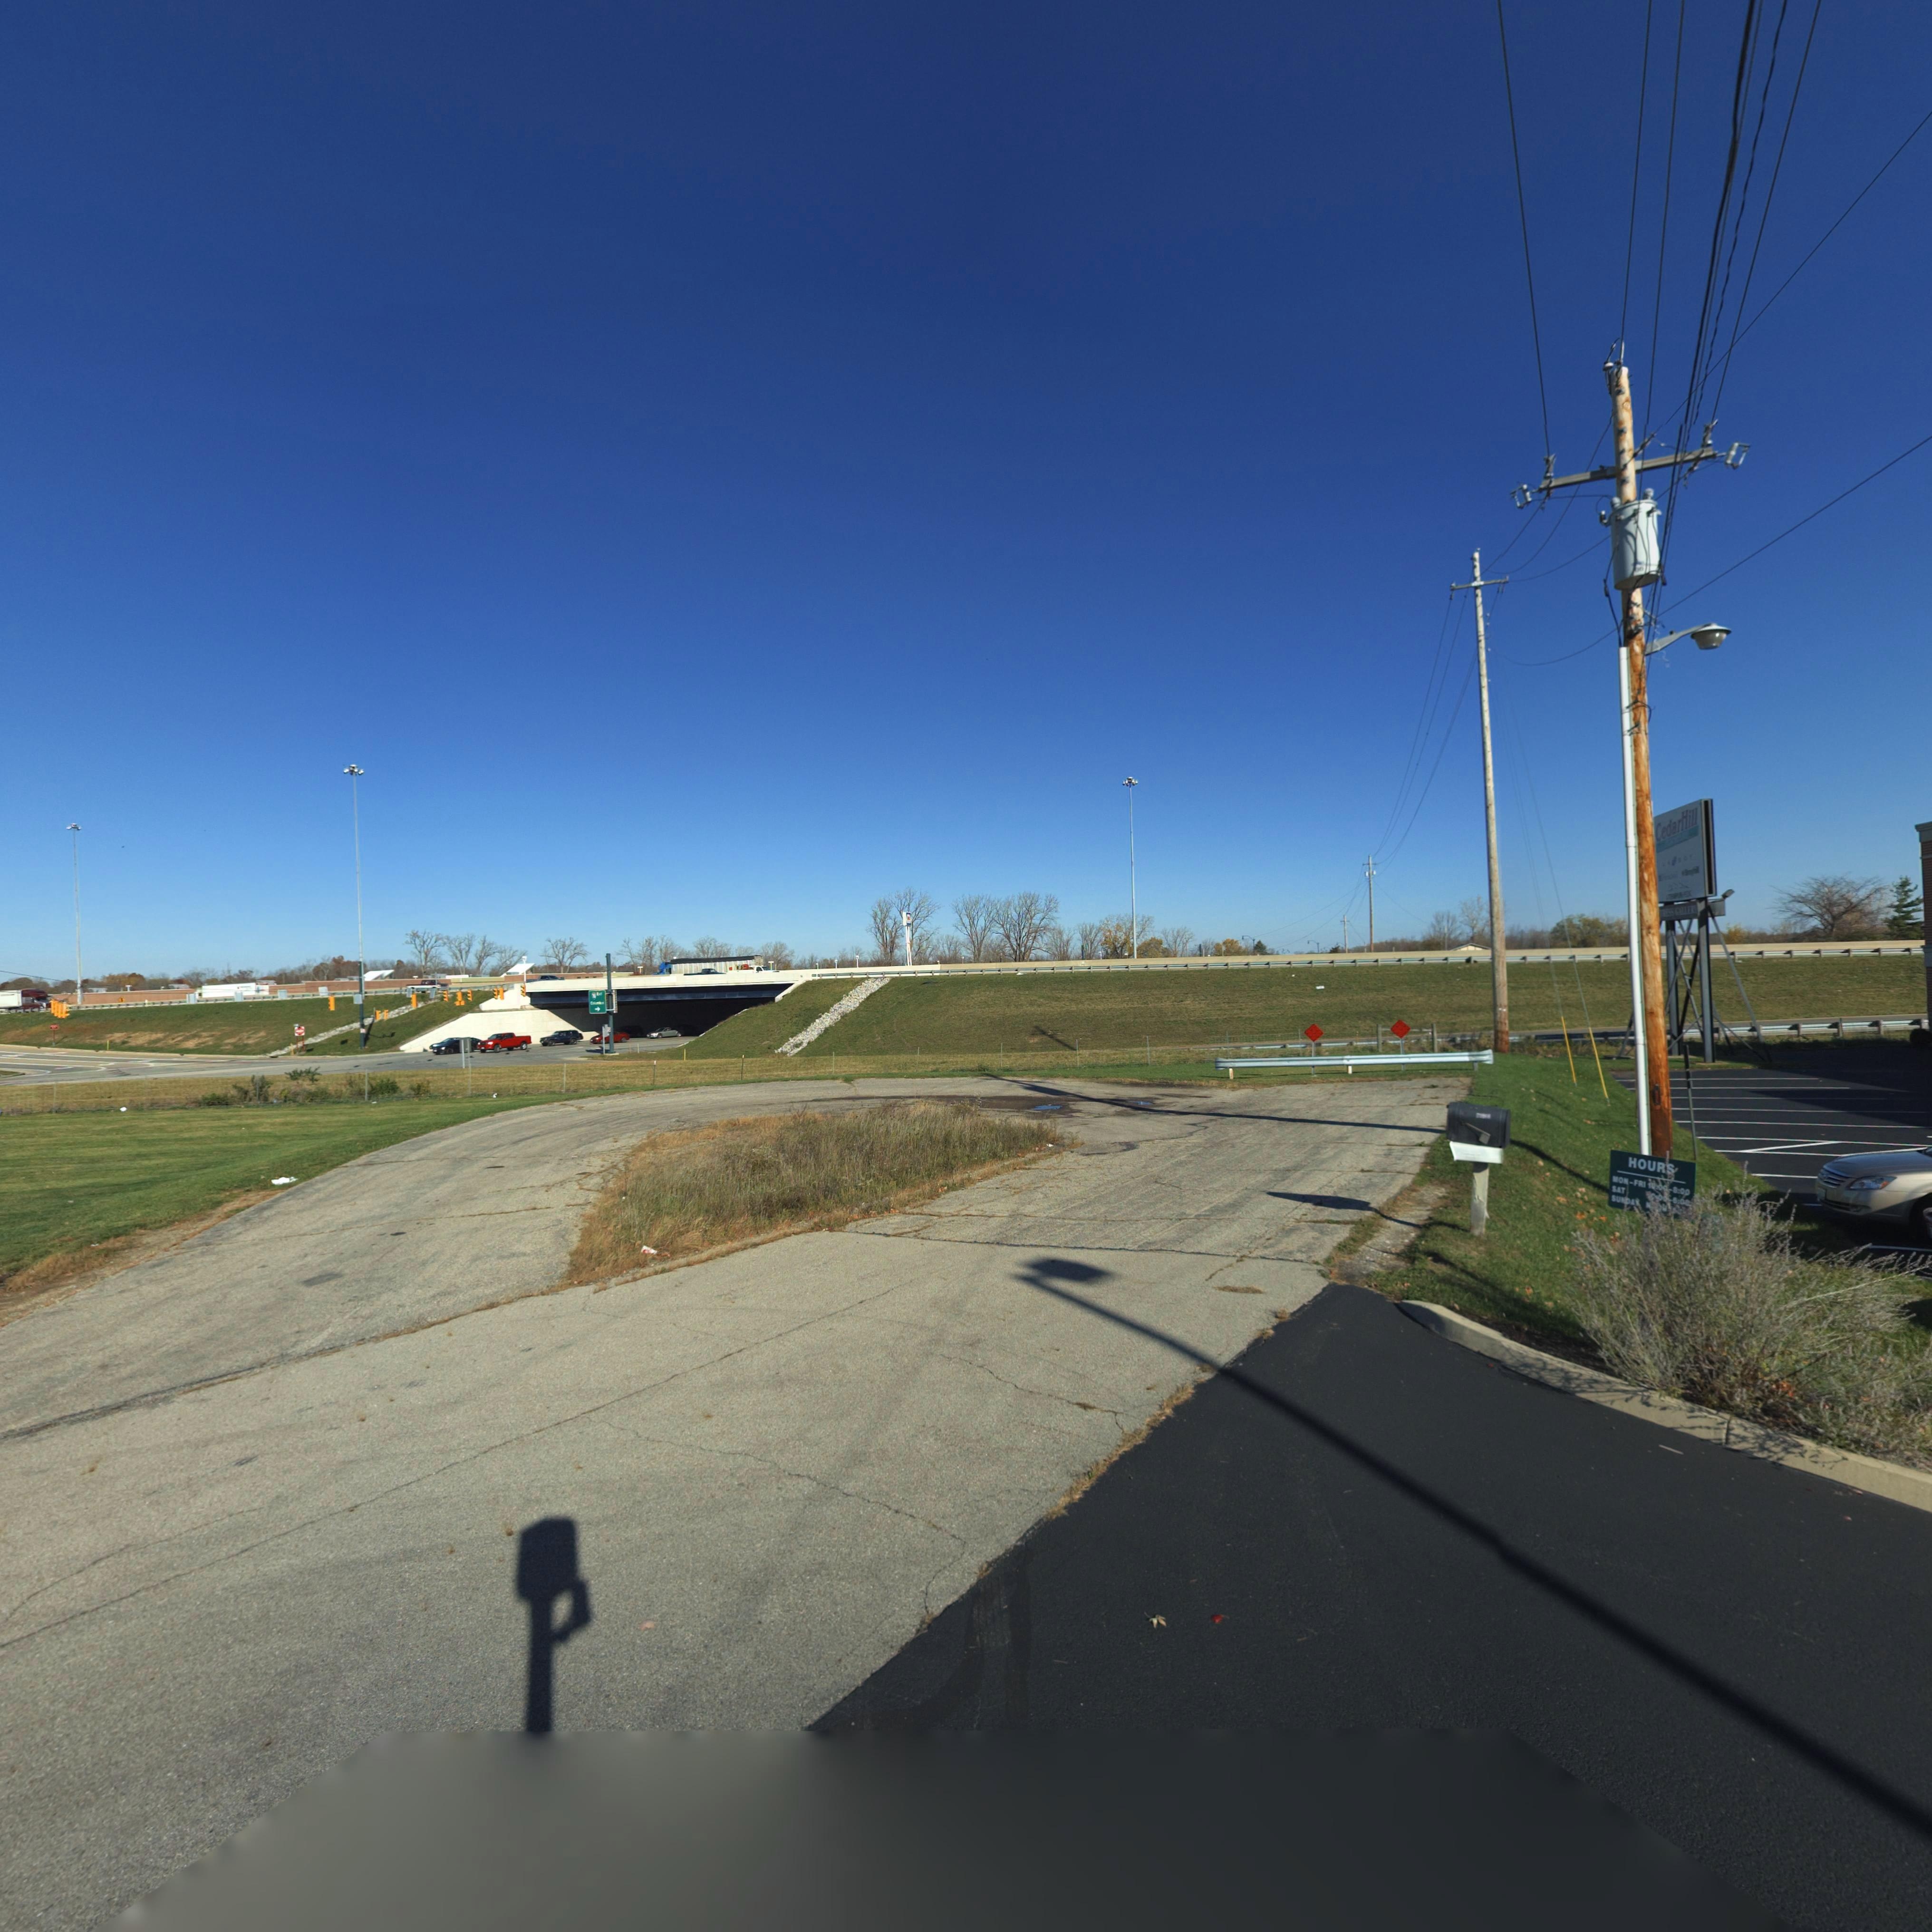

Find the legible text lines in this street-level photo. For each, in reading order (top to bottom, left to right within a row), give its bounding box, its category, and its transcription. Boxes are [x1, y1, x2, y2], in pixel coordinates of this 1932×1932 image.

[1475, 1112, 1491, 1120] StreetNumber: 7***